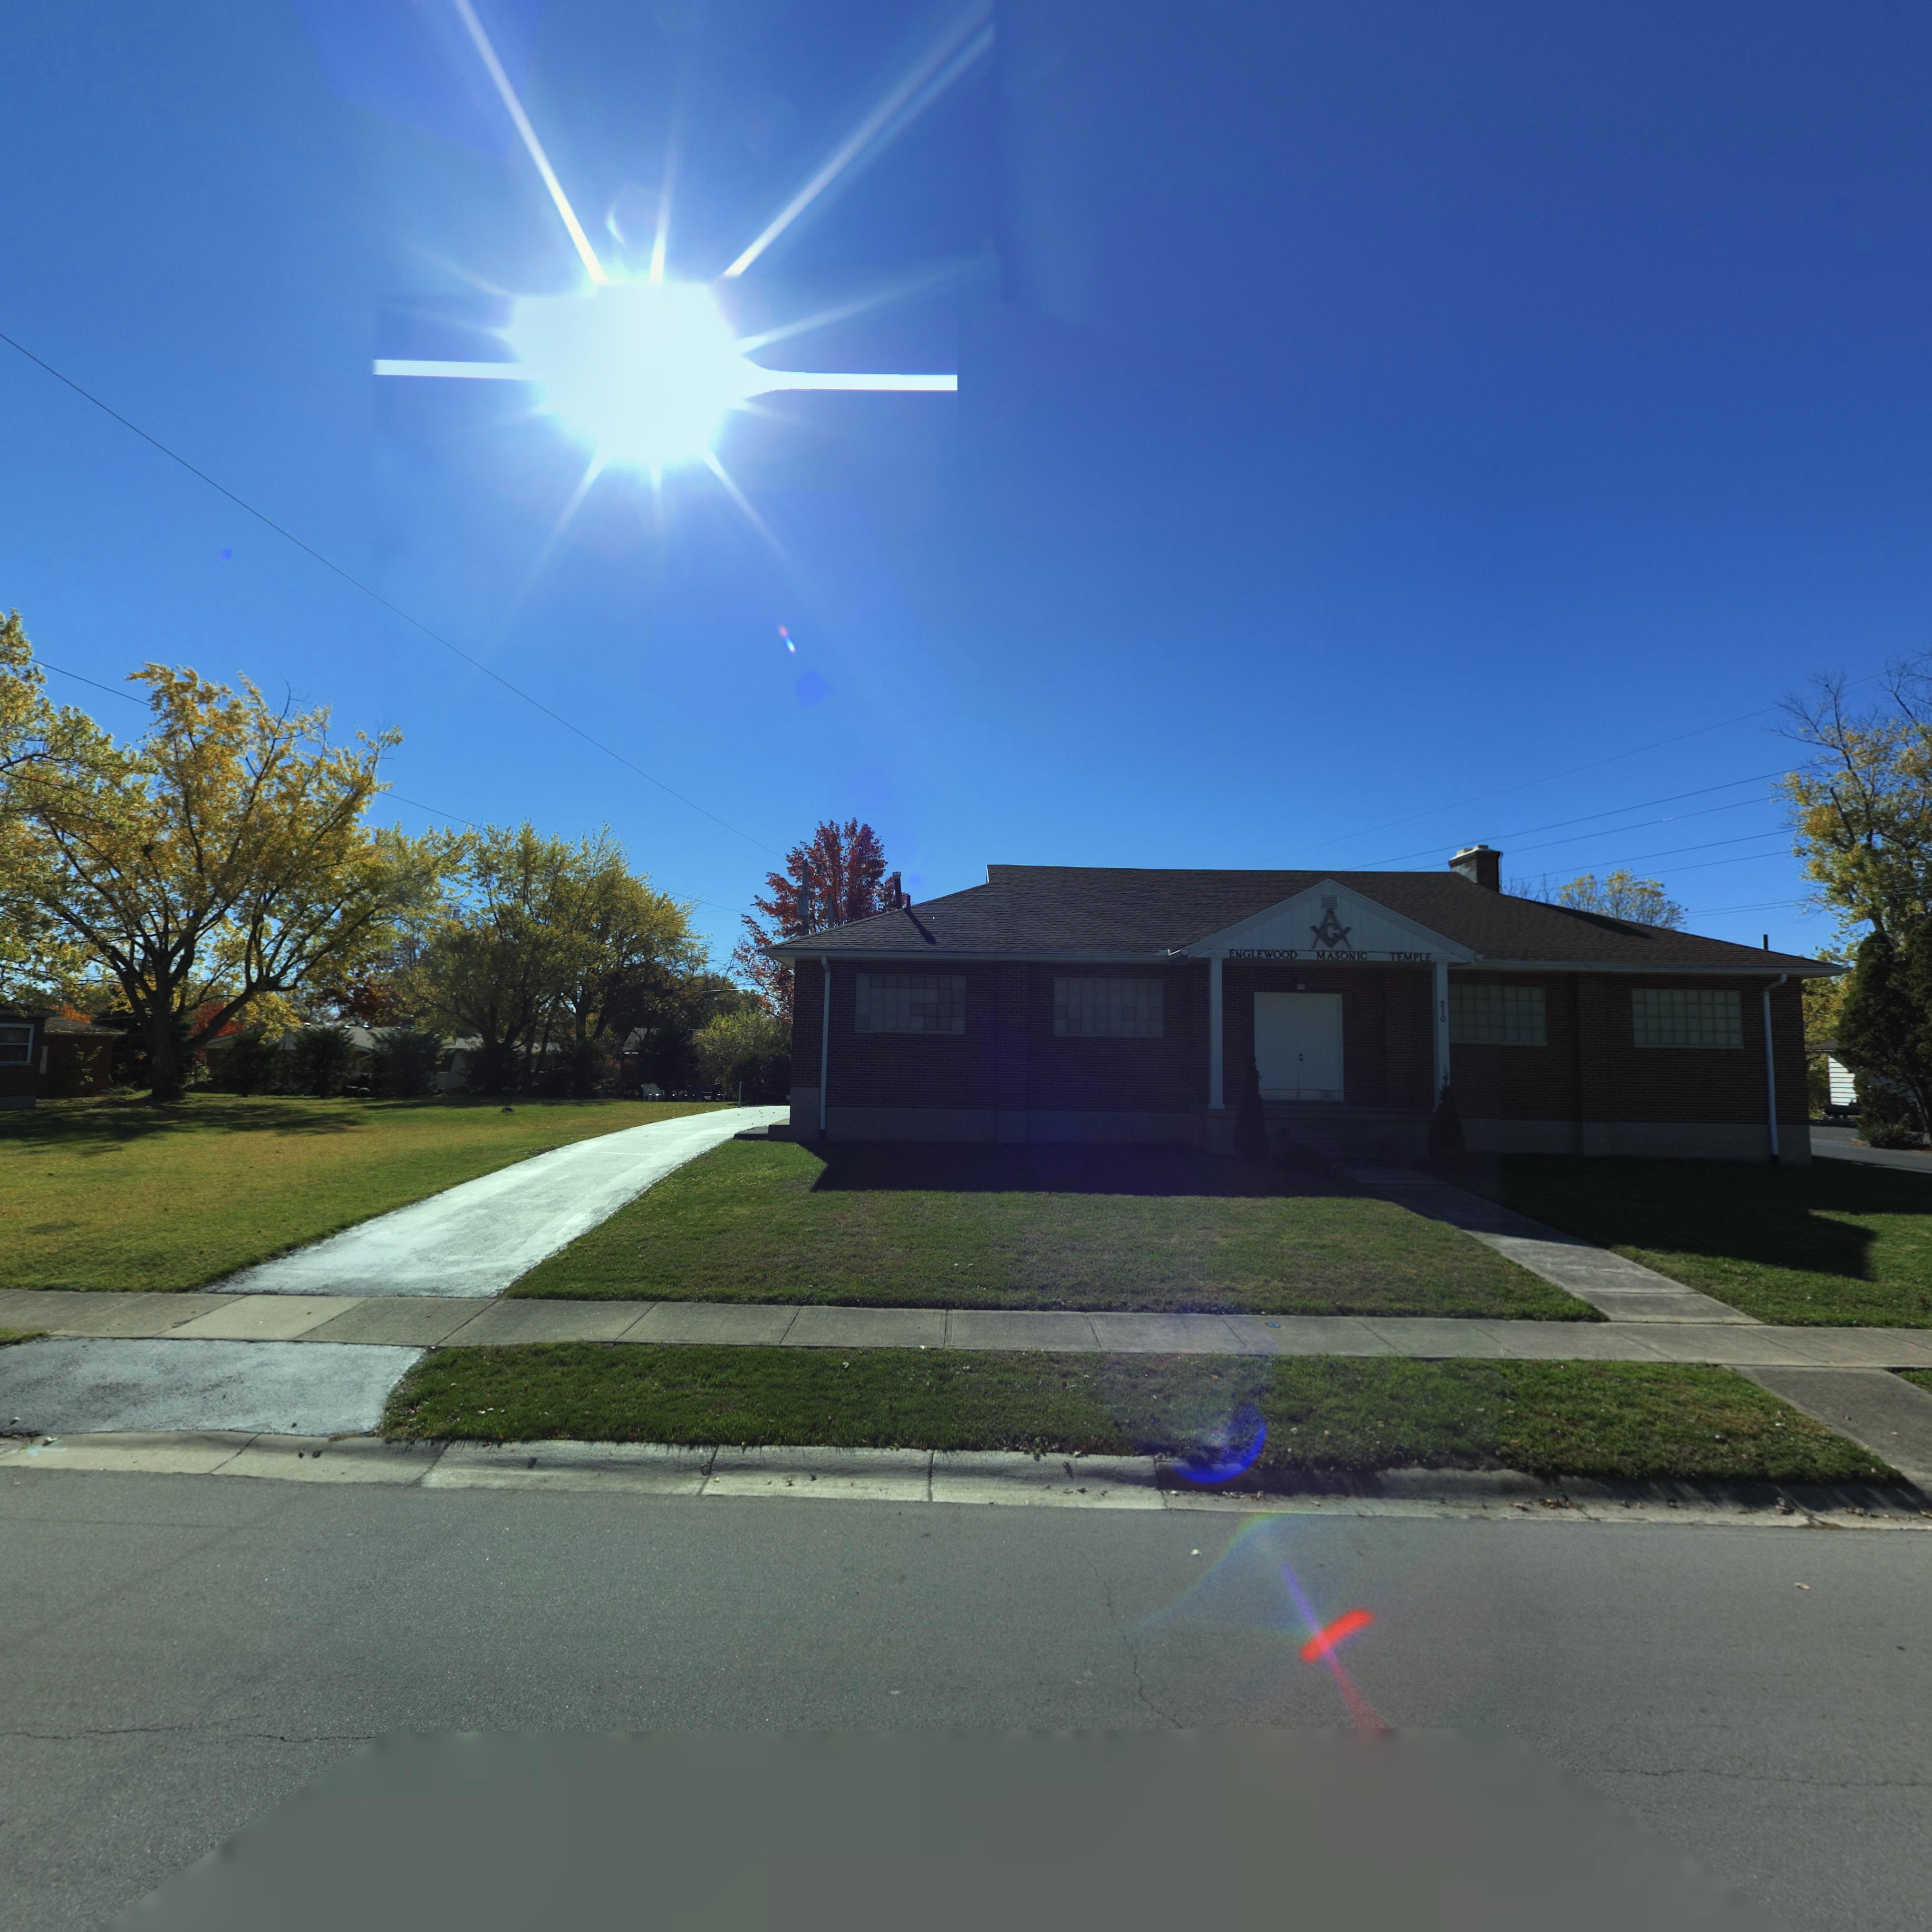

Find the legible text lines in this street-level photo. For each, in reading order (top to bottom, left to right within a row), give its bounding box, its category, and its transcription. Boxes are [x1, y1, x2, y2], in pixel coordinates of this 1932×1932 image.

[1228, 949, 1432, 962] BusinessName: ENGLEWOOD MASONIC TEMPLE
[1439, 1000, 1447, 1023] StreetNumber: 210